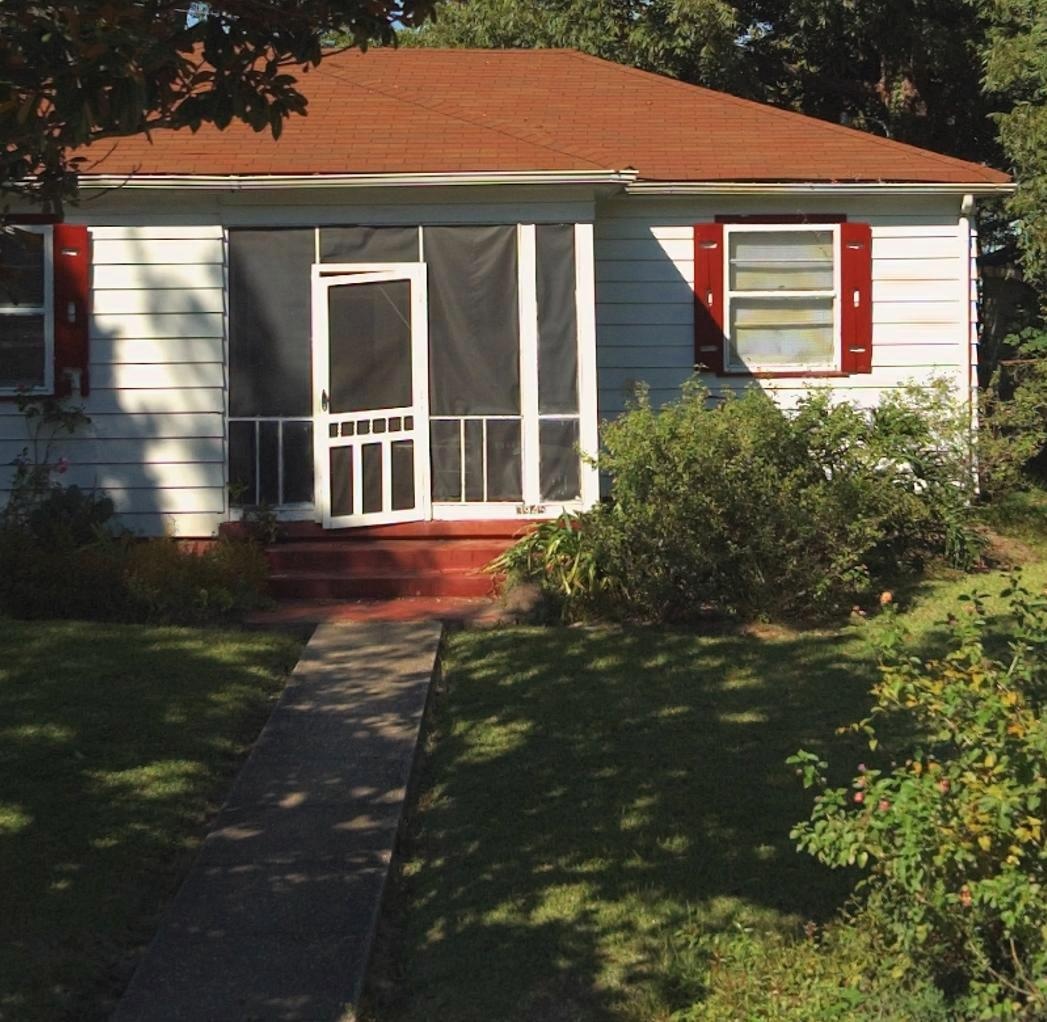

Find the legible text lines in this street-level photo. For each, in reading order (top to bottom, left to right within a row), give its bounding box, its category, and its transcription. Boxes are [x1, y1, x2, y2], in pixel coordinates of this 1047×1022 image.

[516, 504, 547, 515] StreetNumber: 3945